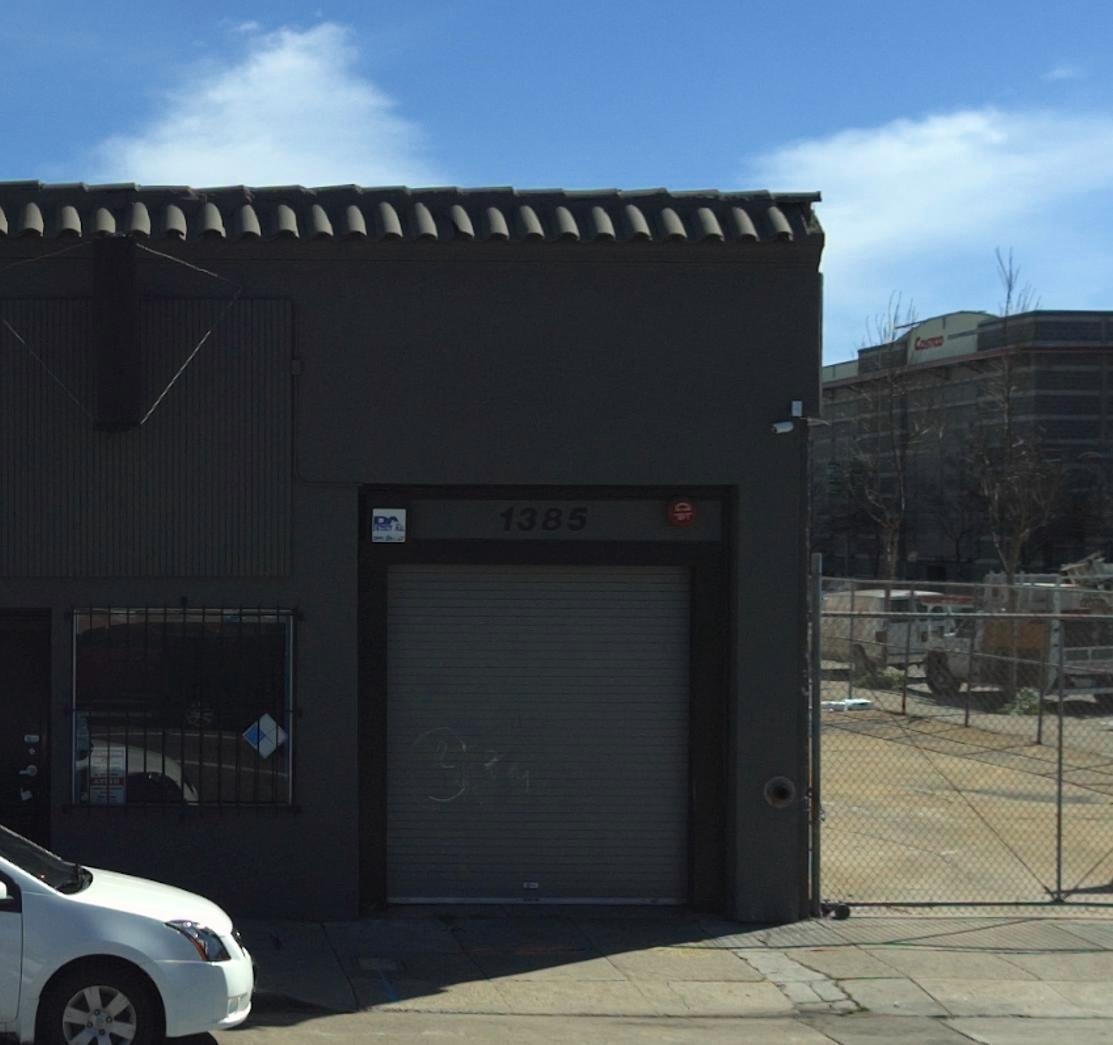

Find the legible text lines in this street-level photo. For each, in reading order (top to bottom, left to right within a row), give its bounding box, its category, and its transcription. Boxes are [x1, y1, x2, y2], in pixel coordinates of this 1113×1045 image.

[910, 332, 947, 354] BusinessName: COSTCO
[497, 502, 592, 534] StreetNumber: 1385